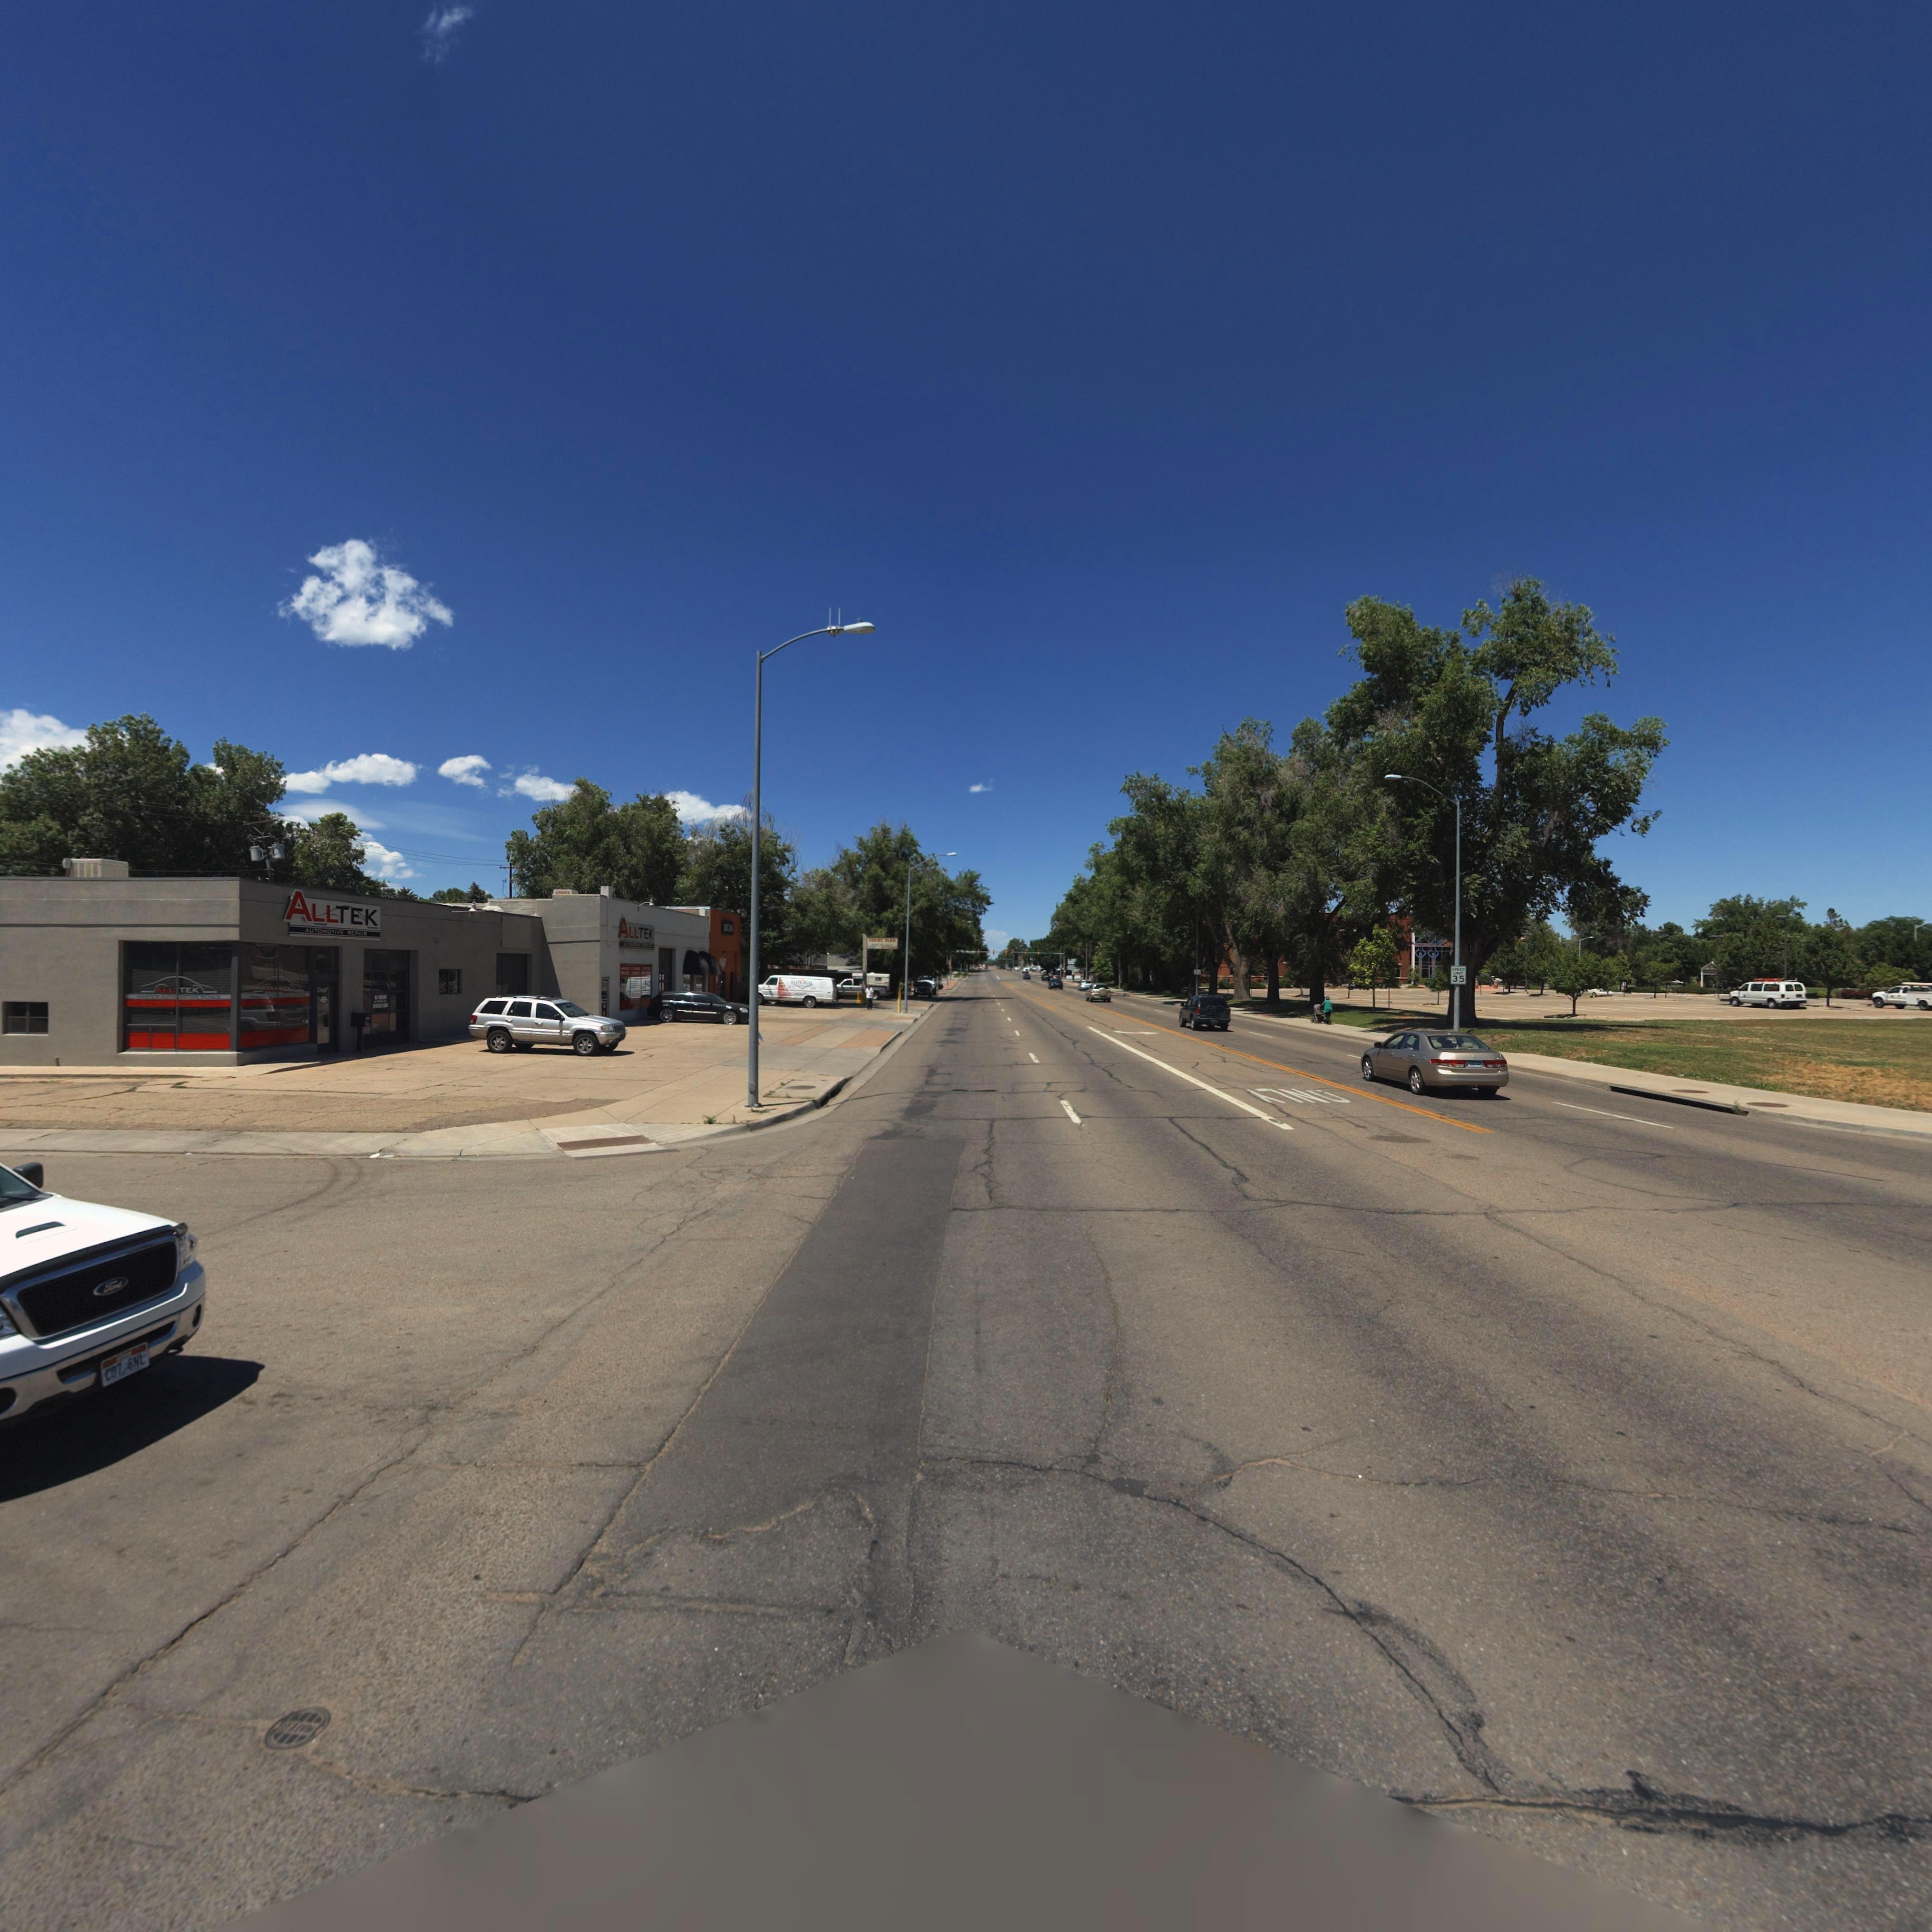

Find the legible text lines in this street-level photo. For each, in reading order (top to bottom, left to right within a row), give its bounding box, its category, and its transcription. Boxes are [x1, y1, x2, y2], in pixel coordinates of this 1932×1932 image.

[282, 889, 378, 926] BusinessName: ALLTEK
[618, 917, 654, 940] BusinessName: ALLTEK
[724, 923, 733, 932] BusinessName: RUG SPA
[305, 927, 367, 936] BusinessName: AUTOMOTIVE REPAIR
[869, 937, 896, 942] BusinessName: COURT YARD
[623, 942, 651, 947] BusinessName: AUTOMOTIVE REPAIR
[871, 943, 893, 947] BusinessName: Studio Apartments
[155, 986, 199, 993] BusinessName: ALL TEK
[264, 986, 291, 992] BusinessName: ALLTEK